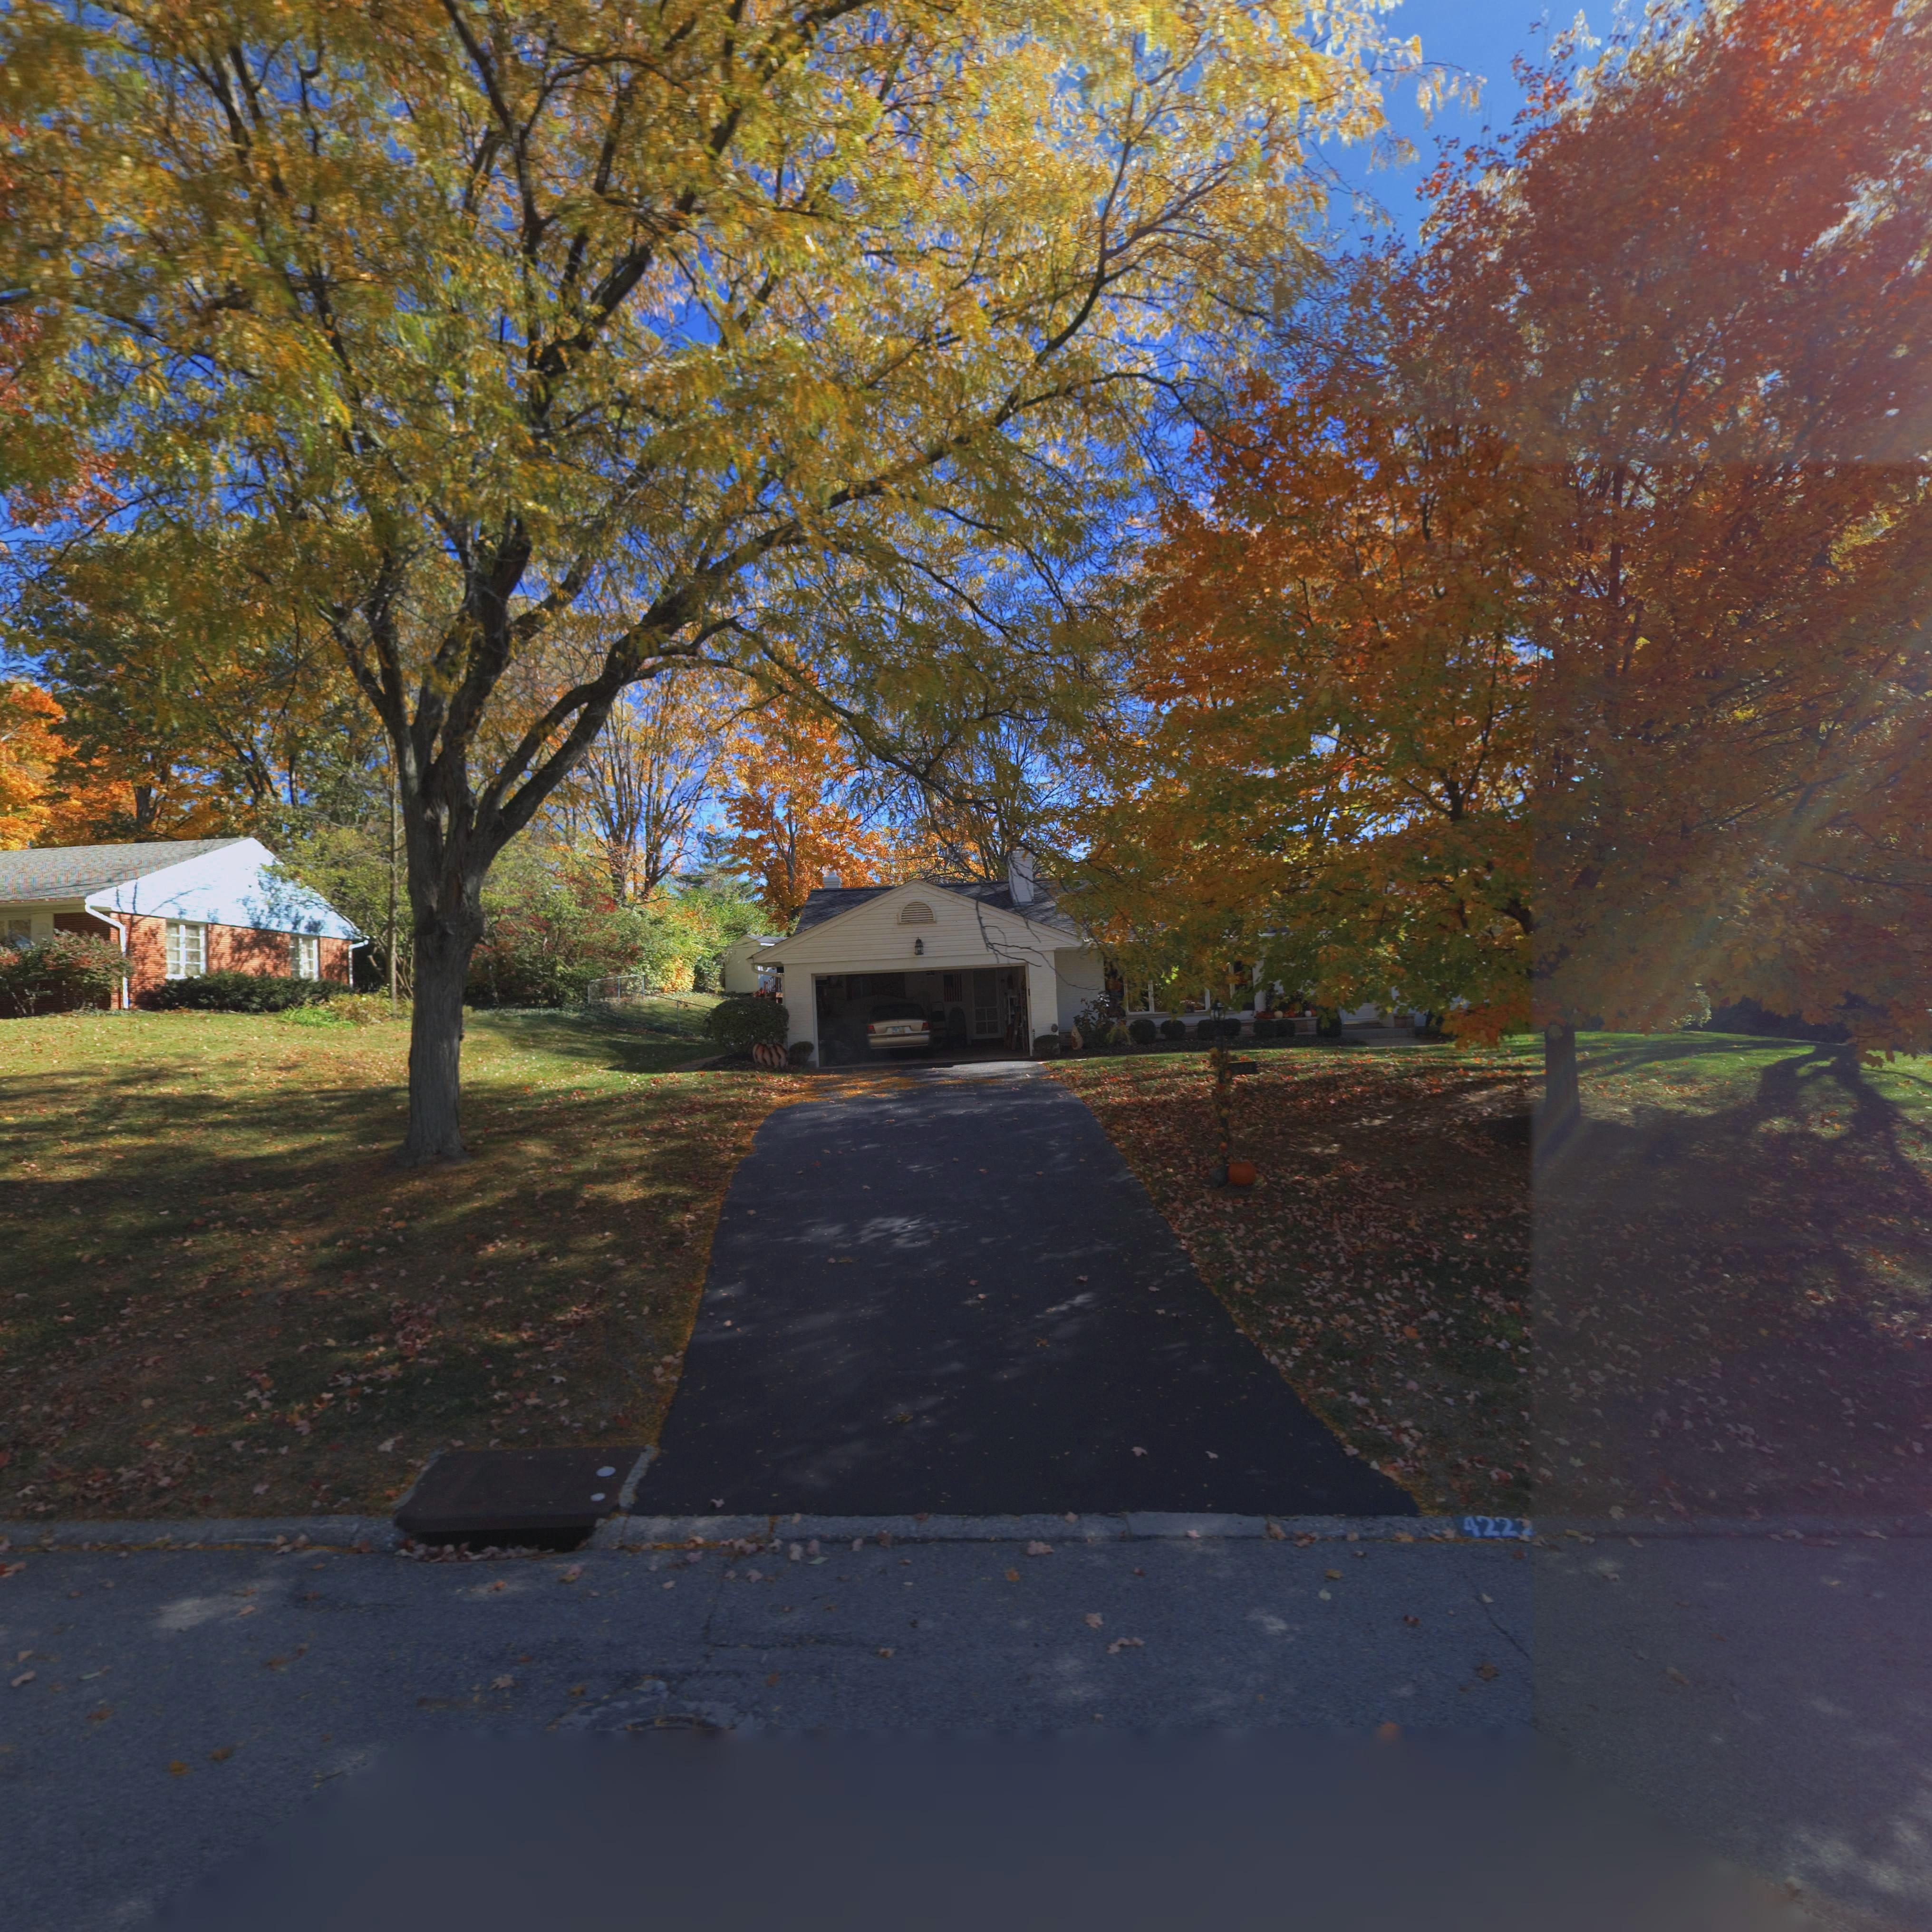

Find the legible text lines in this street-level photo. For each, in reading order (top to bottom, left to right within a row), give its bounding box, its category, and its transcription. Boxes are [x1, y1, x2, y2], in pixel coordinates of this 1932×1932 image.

[1233, 1063, 1257, 1073] StreetNumber: 4222
[1462, 1516, 1541, 1538] StreetNumber: 4222